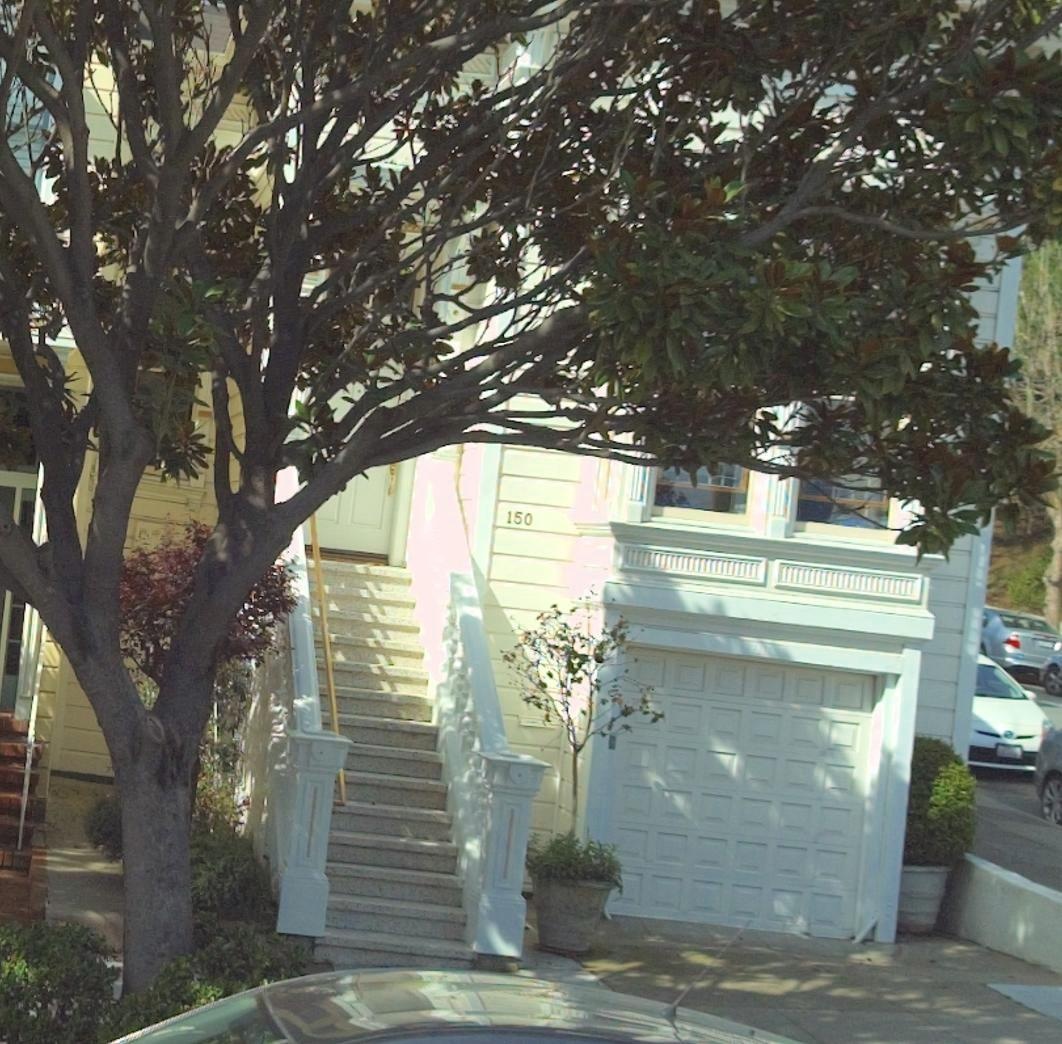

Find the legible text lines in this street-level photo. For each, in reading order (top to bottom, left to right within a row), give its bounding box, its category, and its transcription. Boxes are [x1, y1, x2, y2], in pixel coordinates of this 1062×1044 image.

[505, 509, 534, 526] StreetNumber: 150